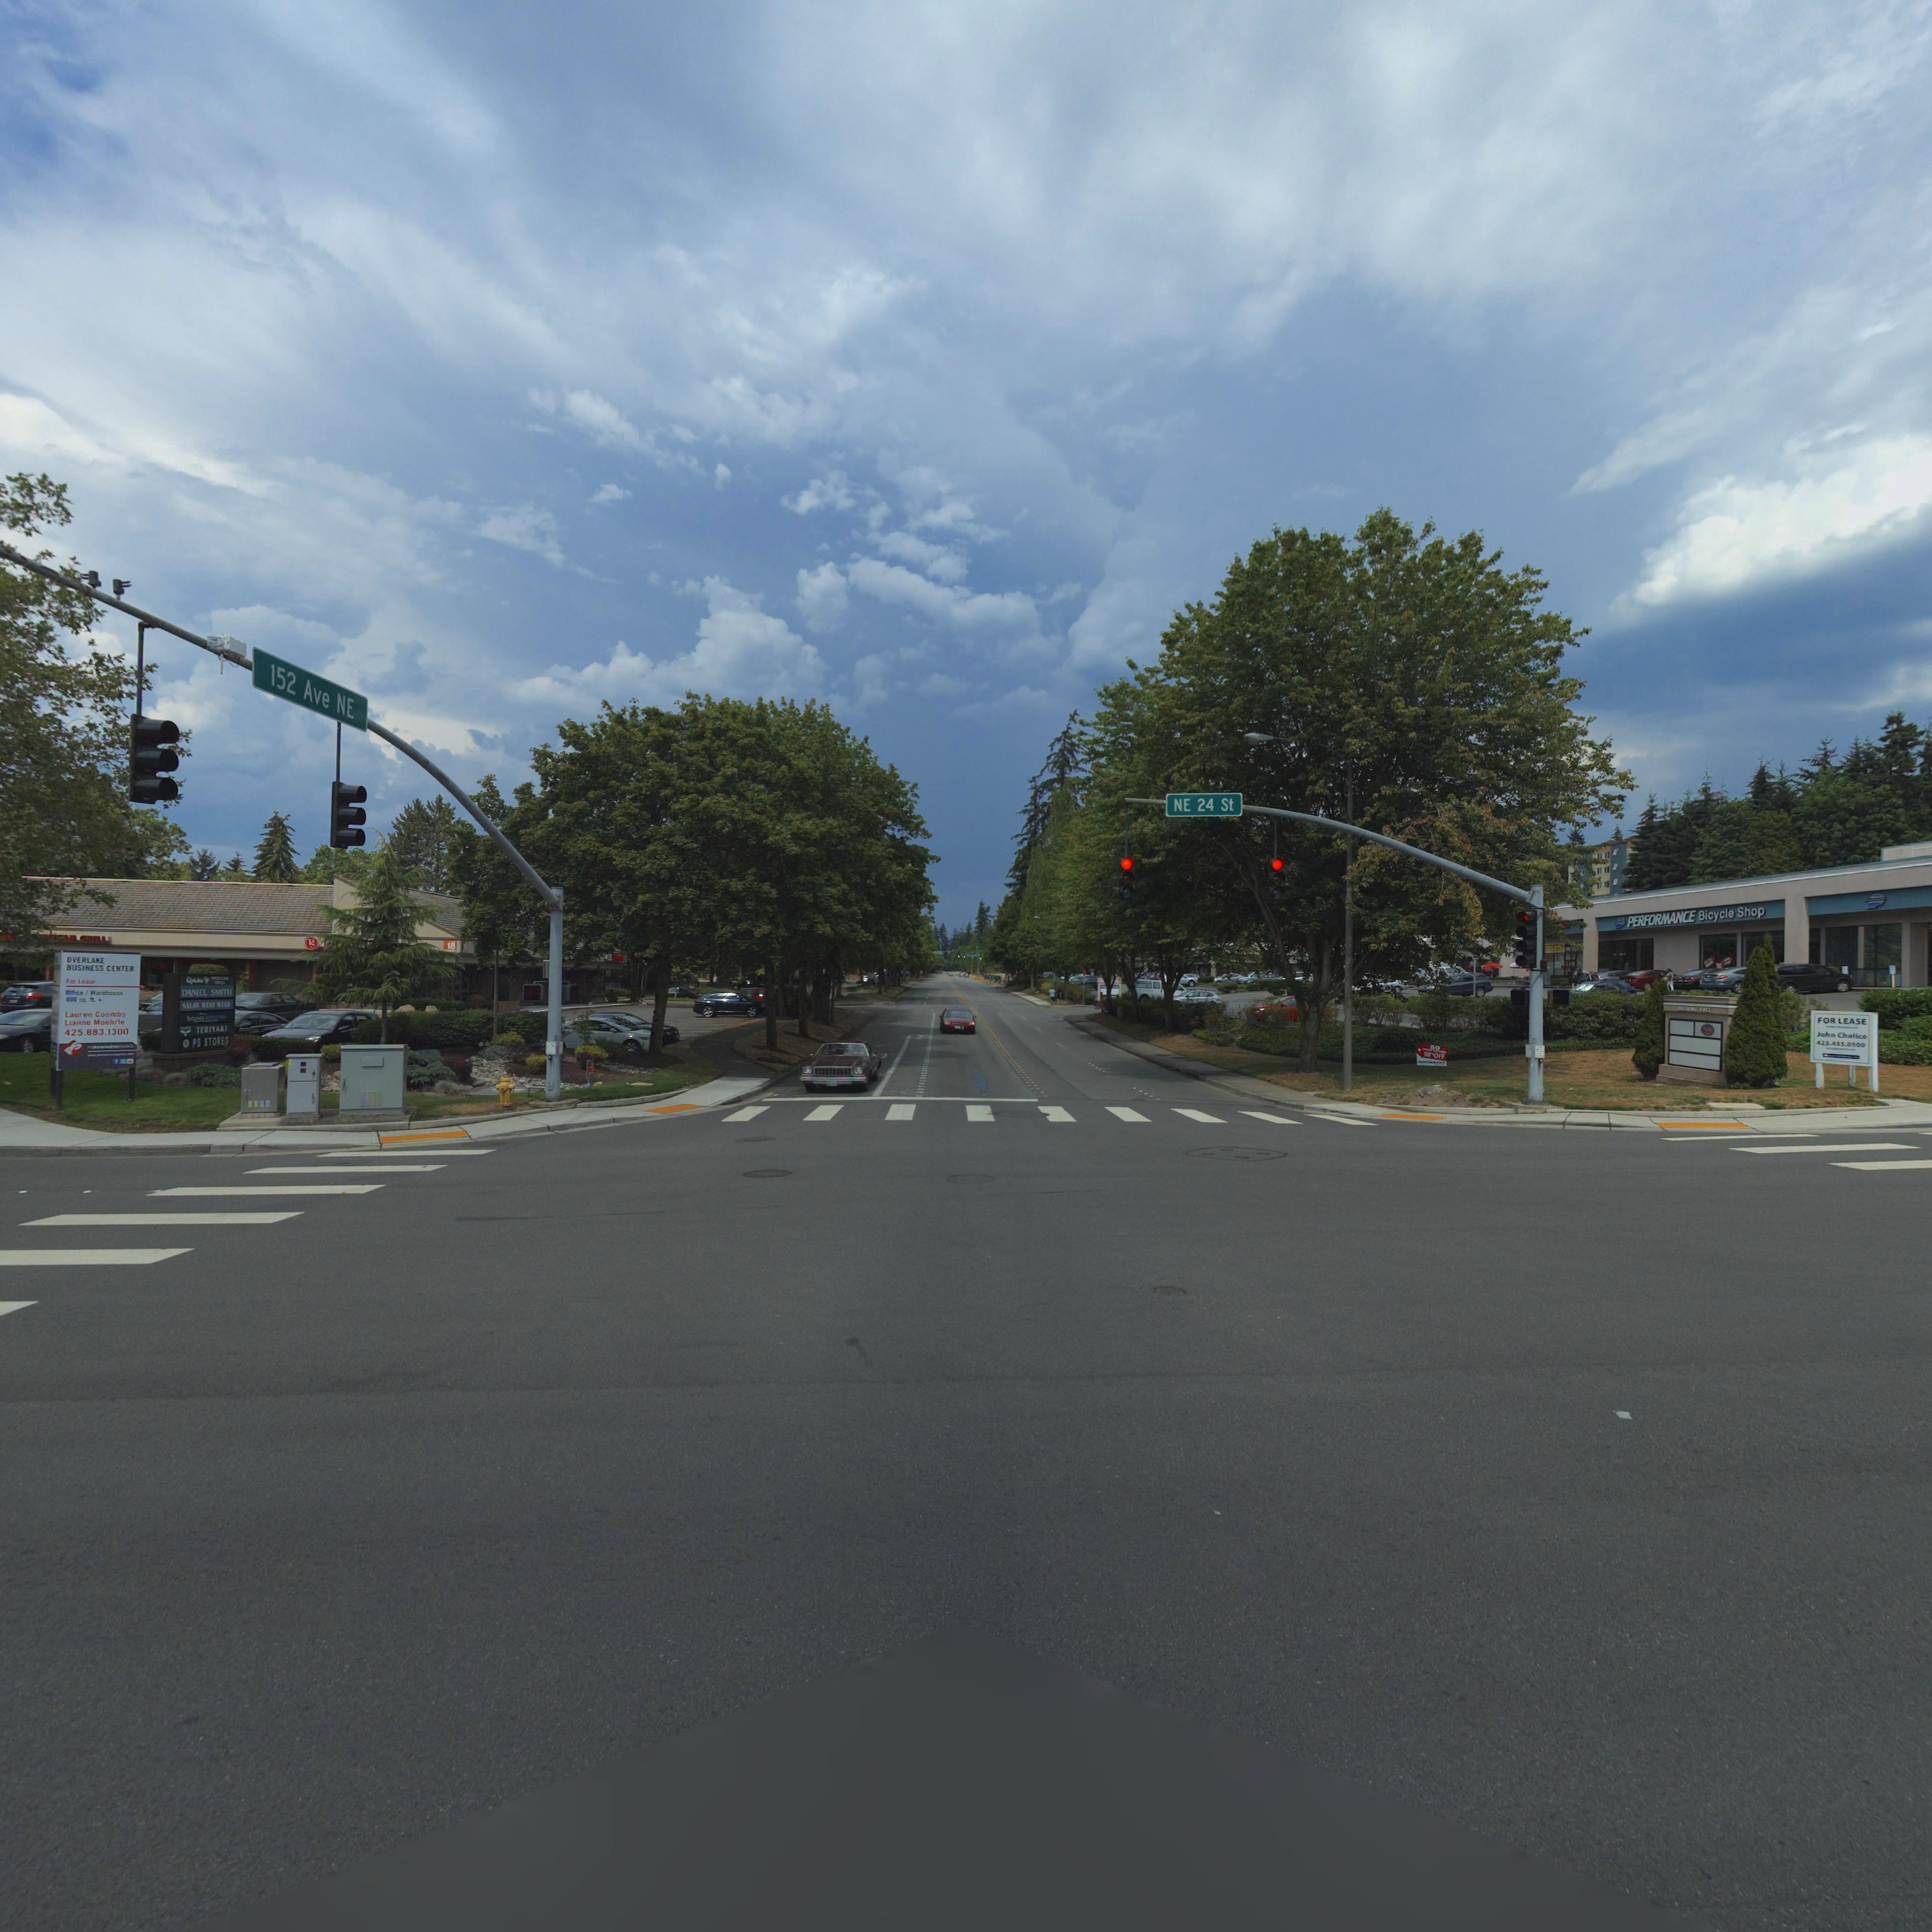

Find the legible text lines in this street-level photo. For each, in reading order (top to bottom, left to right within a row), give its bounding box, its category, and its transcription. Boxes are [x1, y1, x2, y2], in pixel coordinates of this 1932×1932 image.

[269, 662, 358, 720] StreetName: 152 Ave NE
[1170, 795, 1238, 815] StreetName: NE 24th St
[1625, 904, 1768, 928] BusinessName: PERFORMANCE Bicycle Shop
[79, 935, 106, 943] None: *RILL
[447, 941, 455, 949] StreetNumber: 18
[195, 1024, 228, 1033] BusinessName: TERIYAKI
[193, 1036, 229, 1047] BusinessName: PS STORES